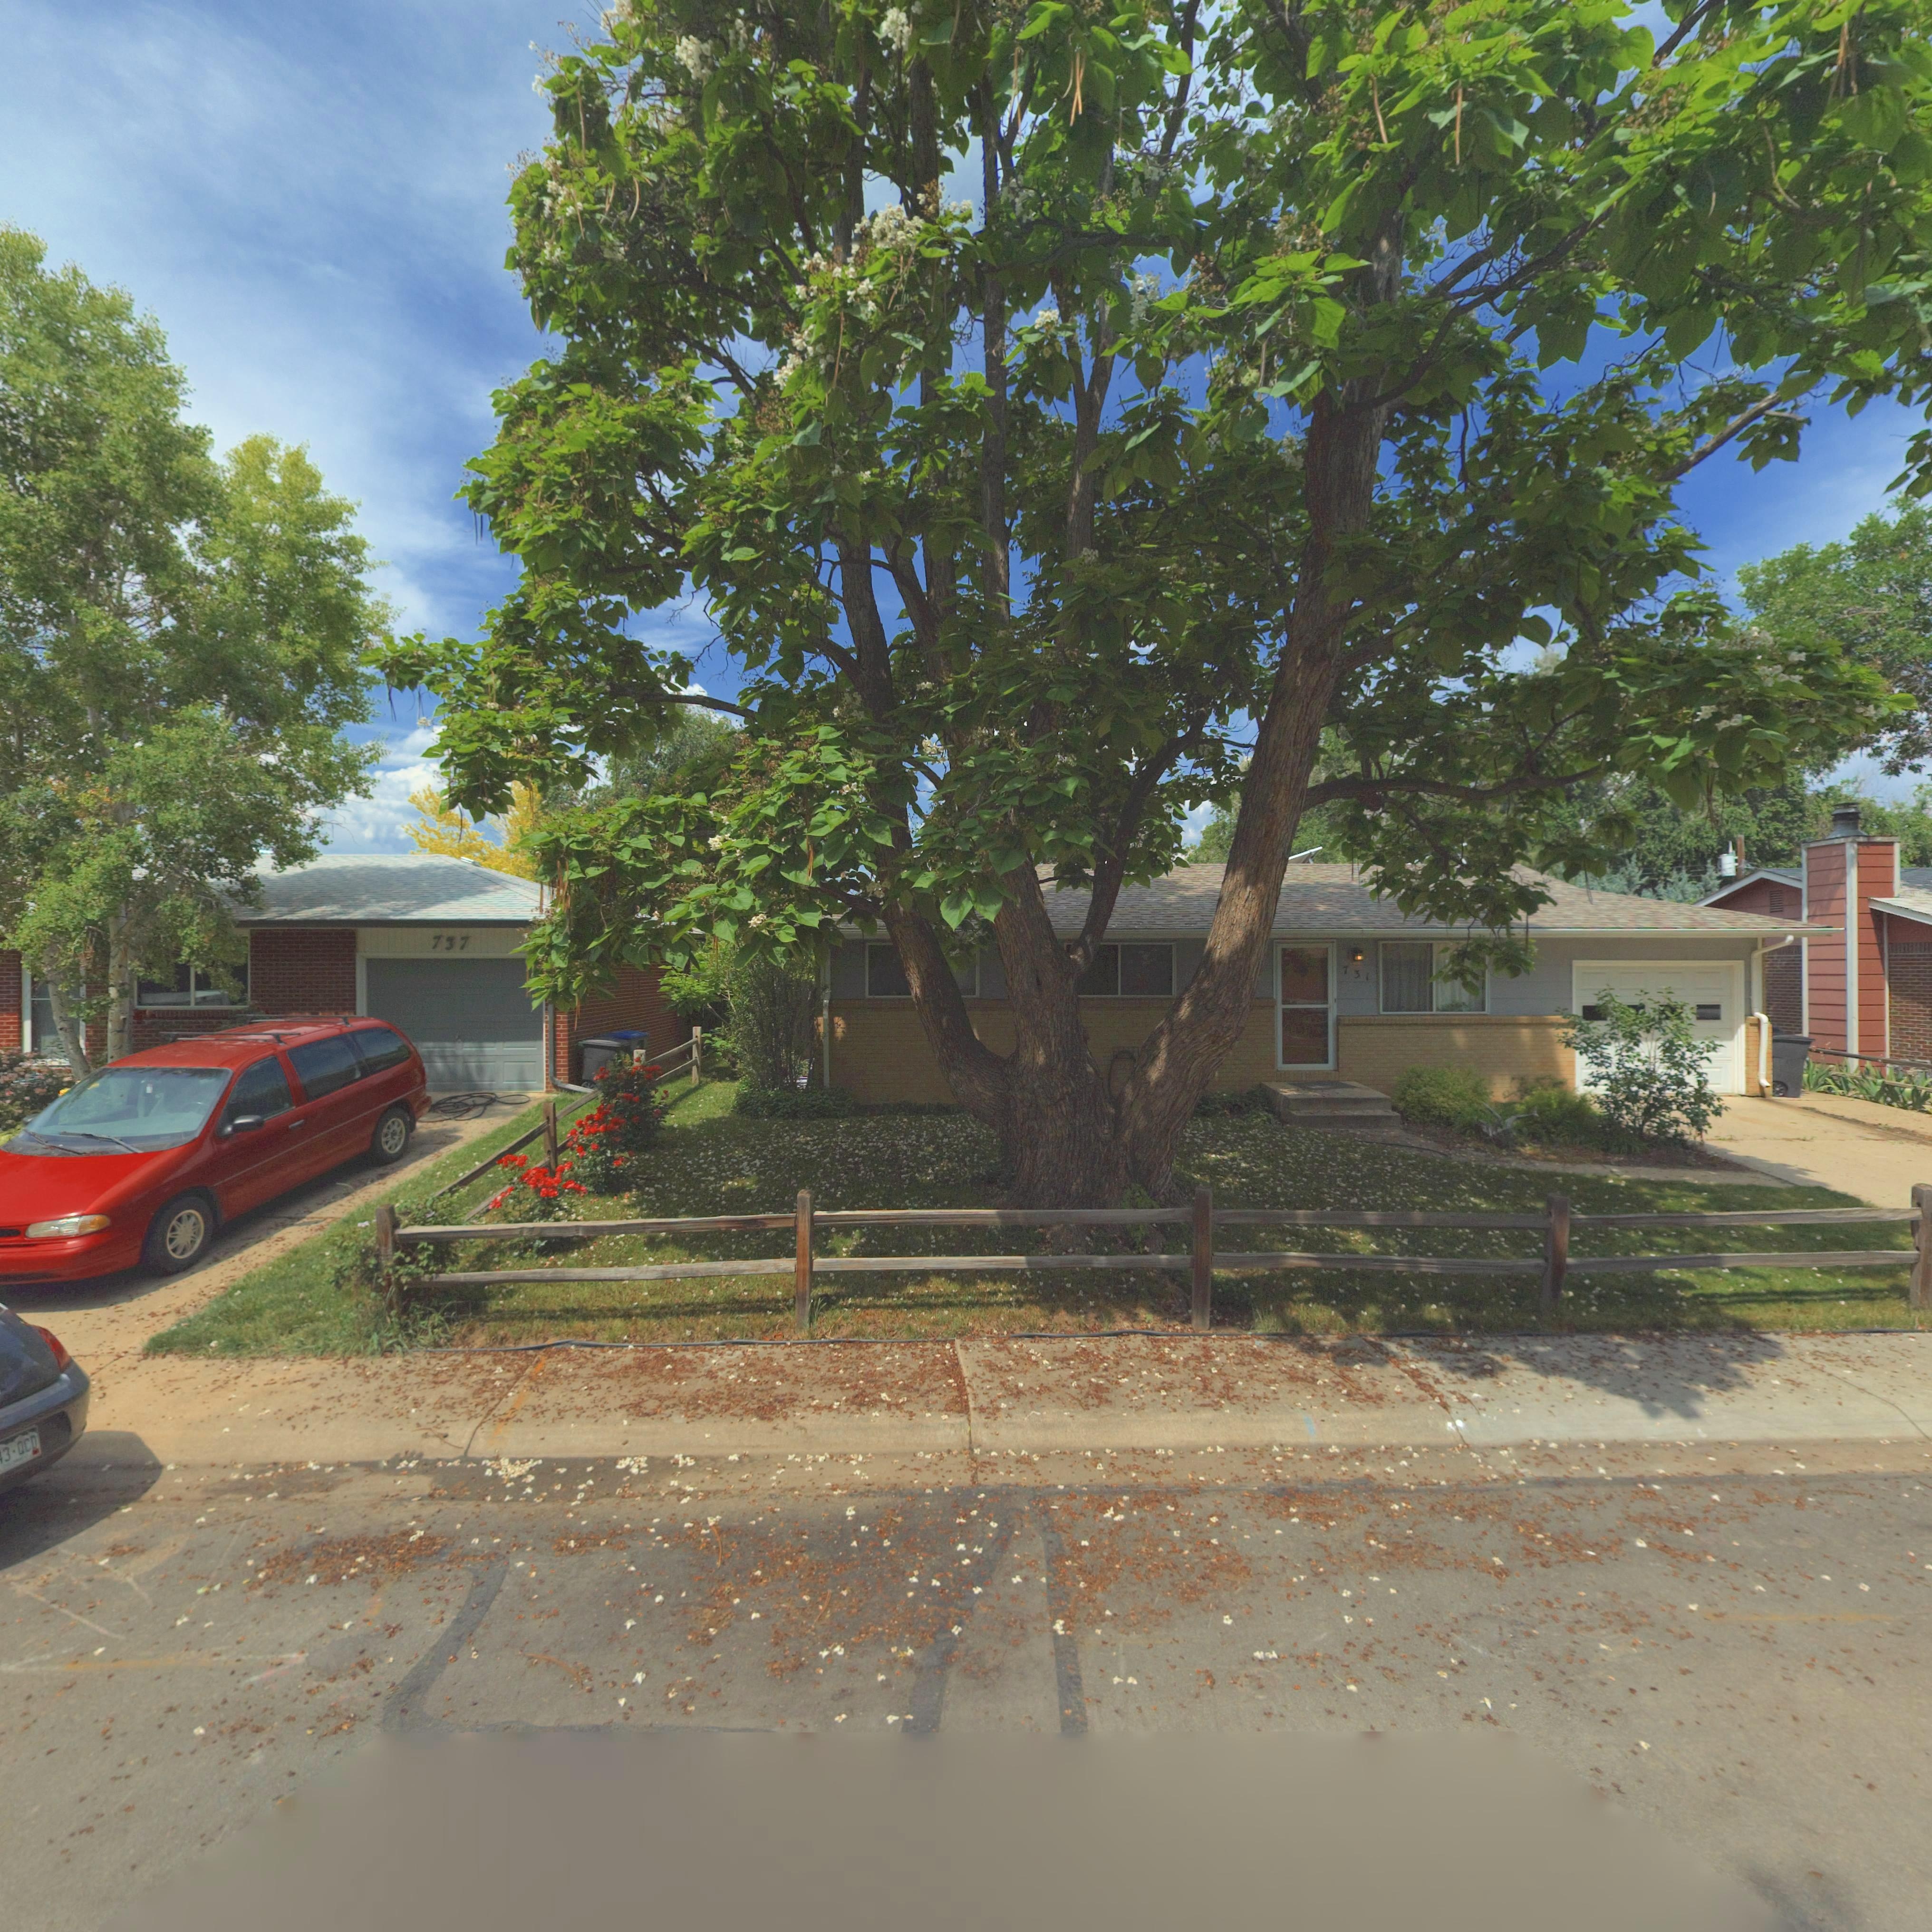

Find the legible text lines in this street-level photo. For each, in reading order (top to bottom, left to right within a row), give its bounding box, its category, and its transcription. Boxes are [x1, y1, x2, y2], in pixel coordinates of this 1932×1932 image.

[431, 935, 470, 950] StreetNumber: 737
[1342, 965, 1369, 982] StreetNumber: 731